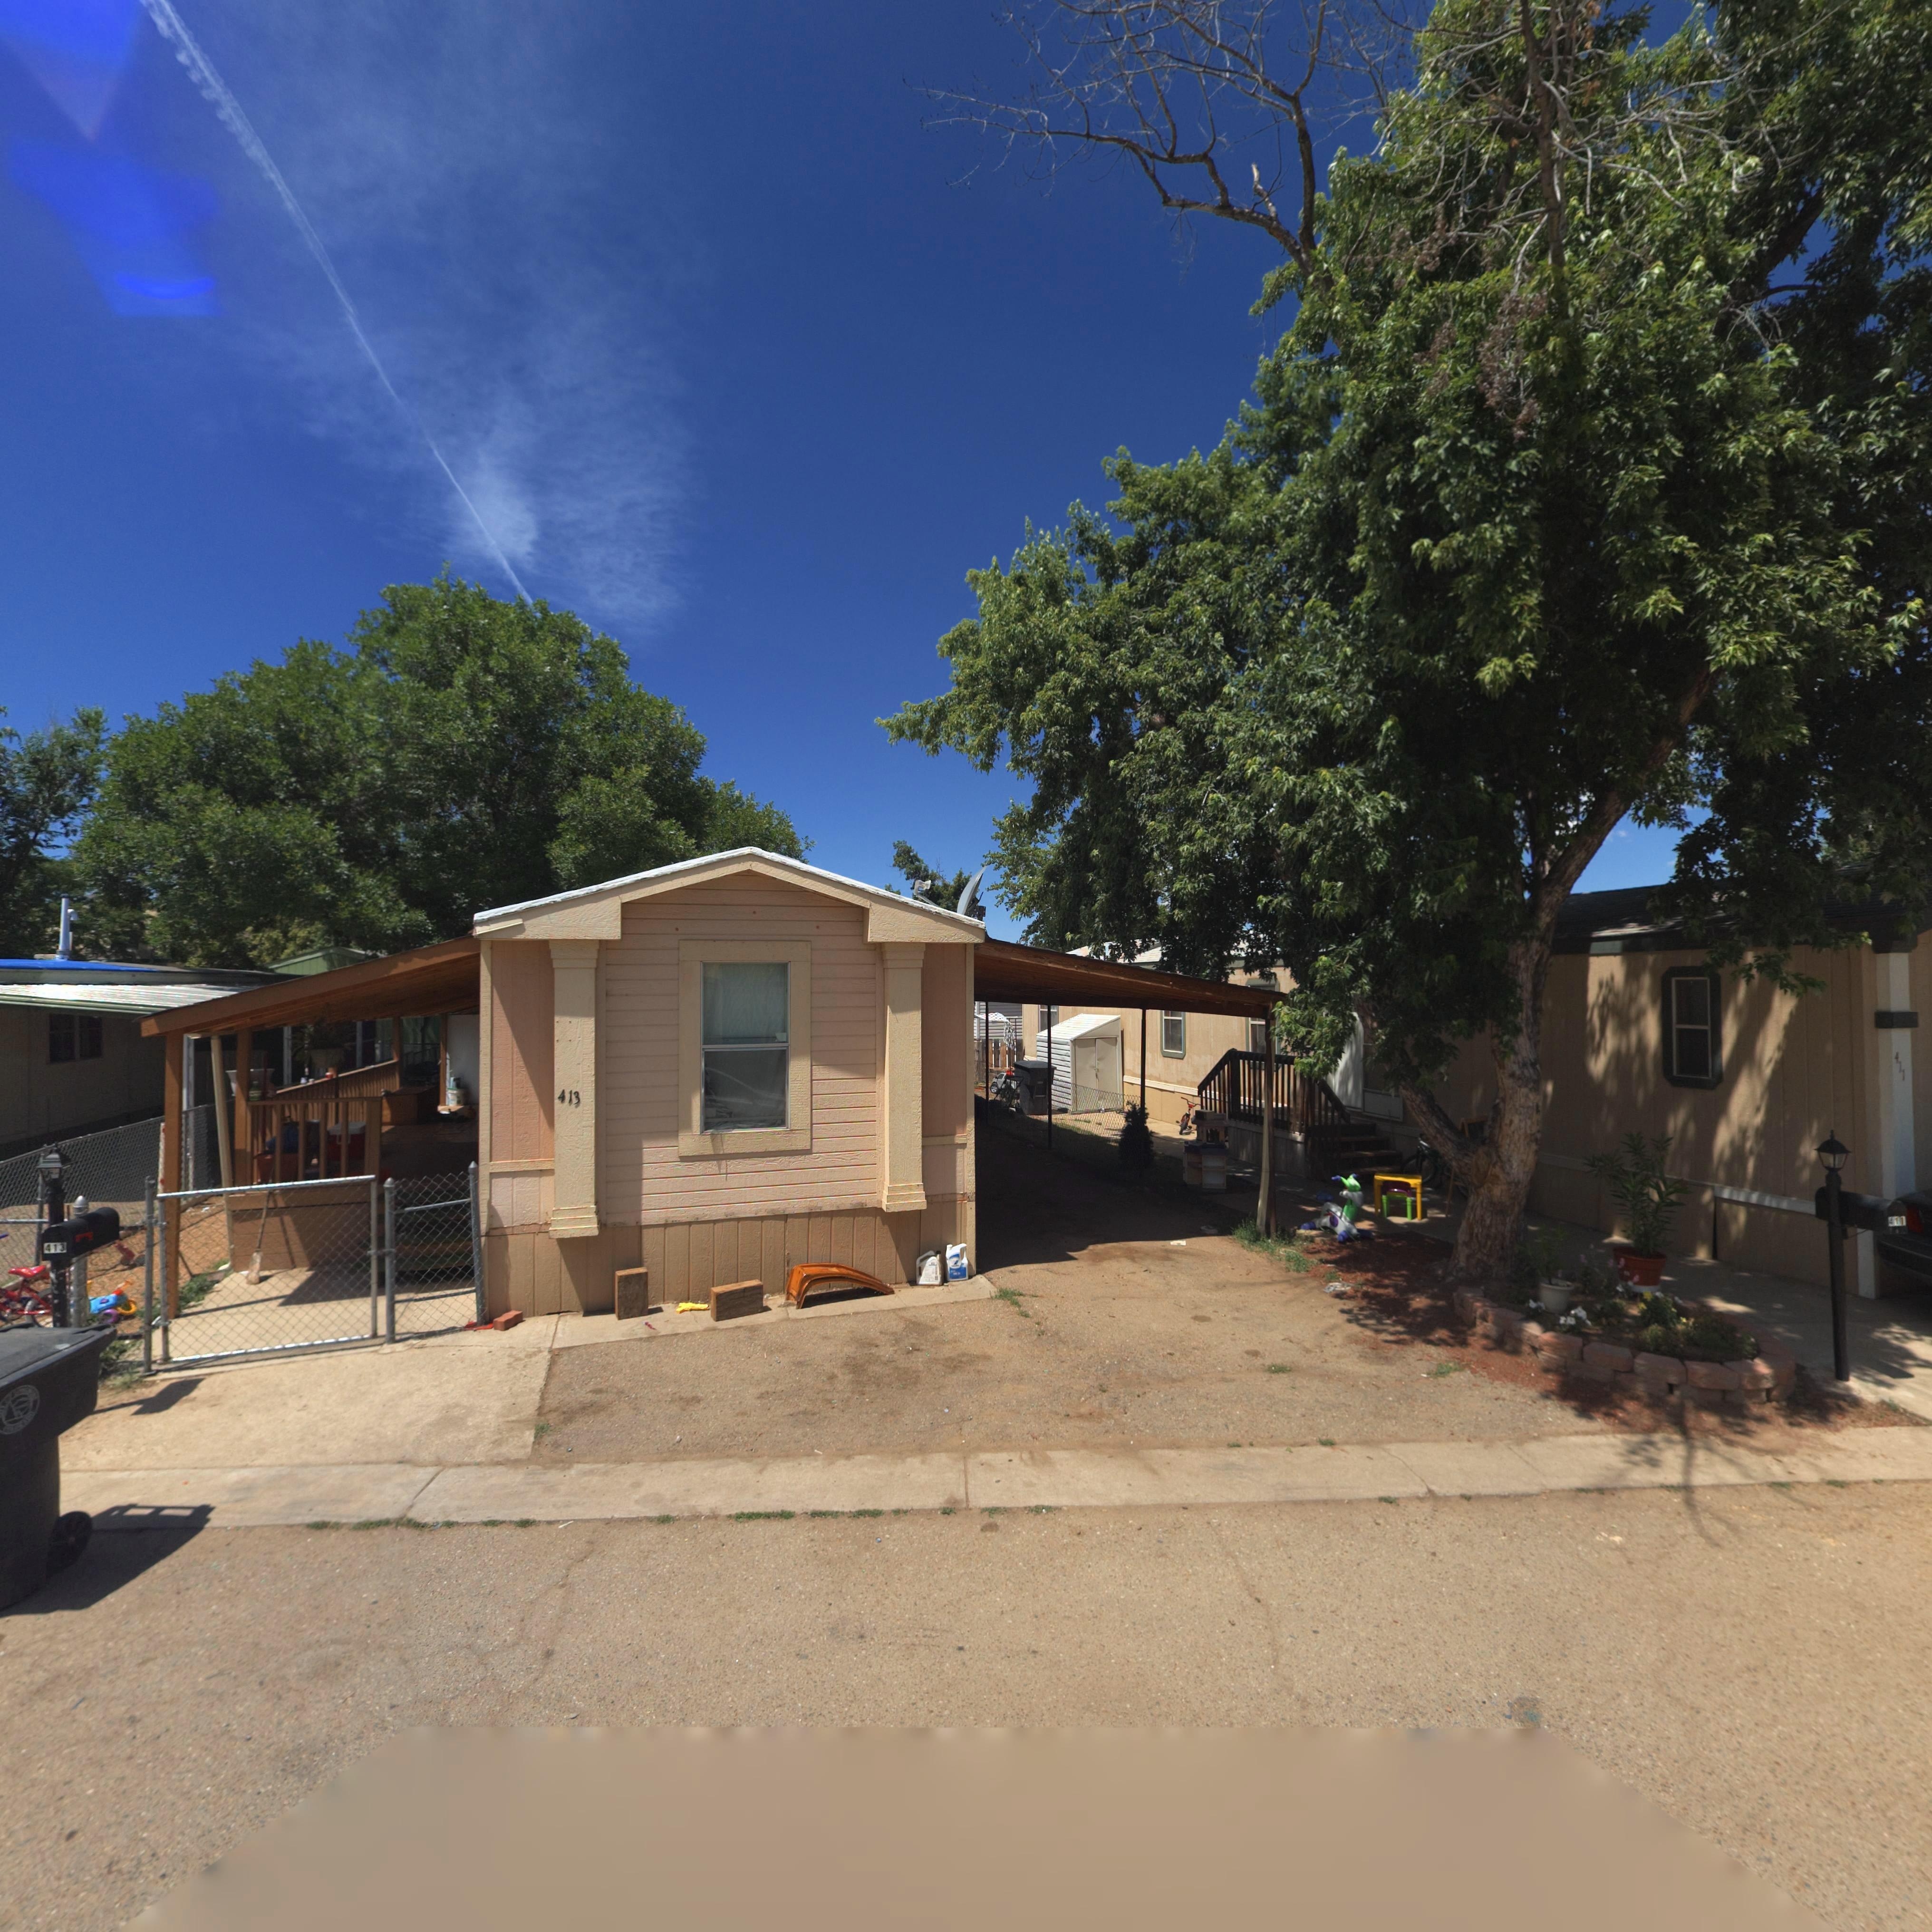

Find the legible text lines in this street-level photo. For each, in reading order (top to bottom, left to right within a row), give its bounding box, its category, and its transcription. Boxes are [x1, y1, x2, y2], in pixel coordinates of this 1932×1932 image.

[1893, 1051, 1905, 1081] StreetNumber: 411
[557, 1089, 580, 1105] StreetNumber: 413
[1888, 1217, 1903, 1225] StreetNumber: 411
[45, 1243, 65, 1252] StreetNumber: 413